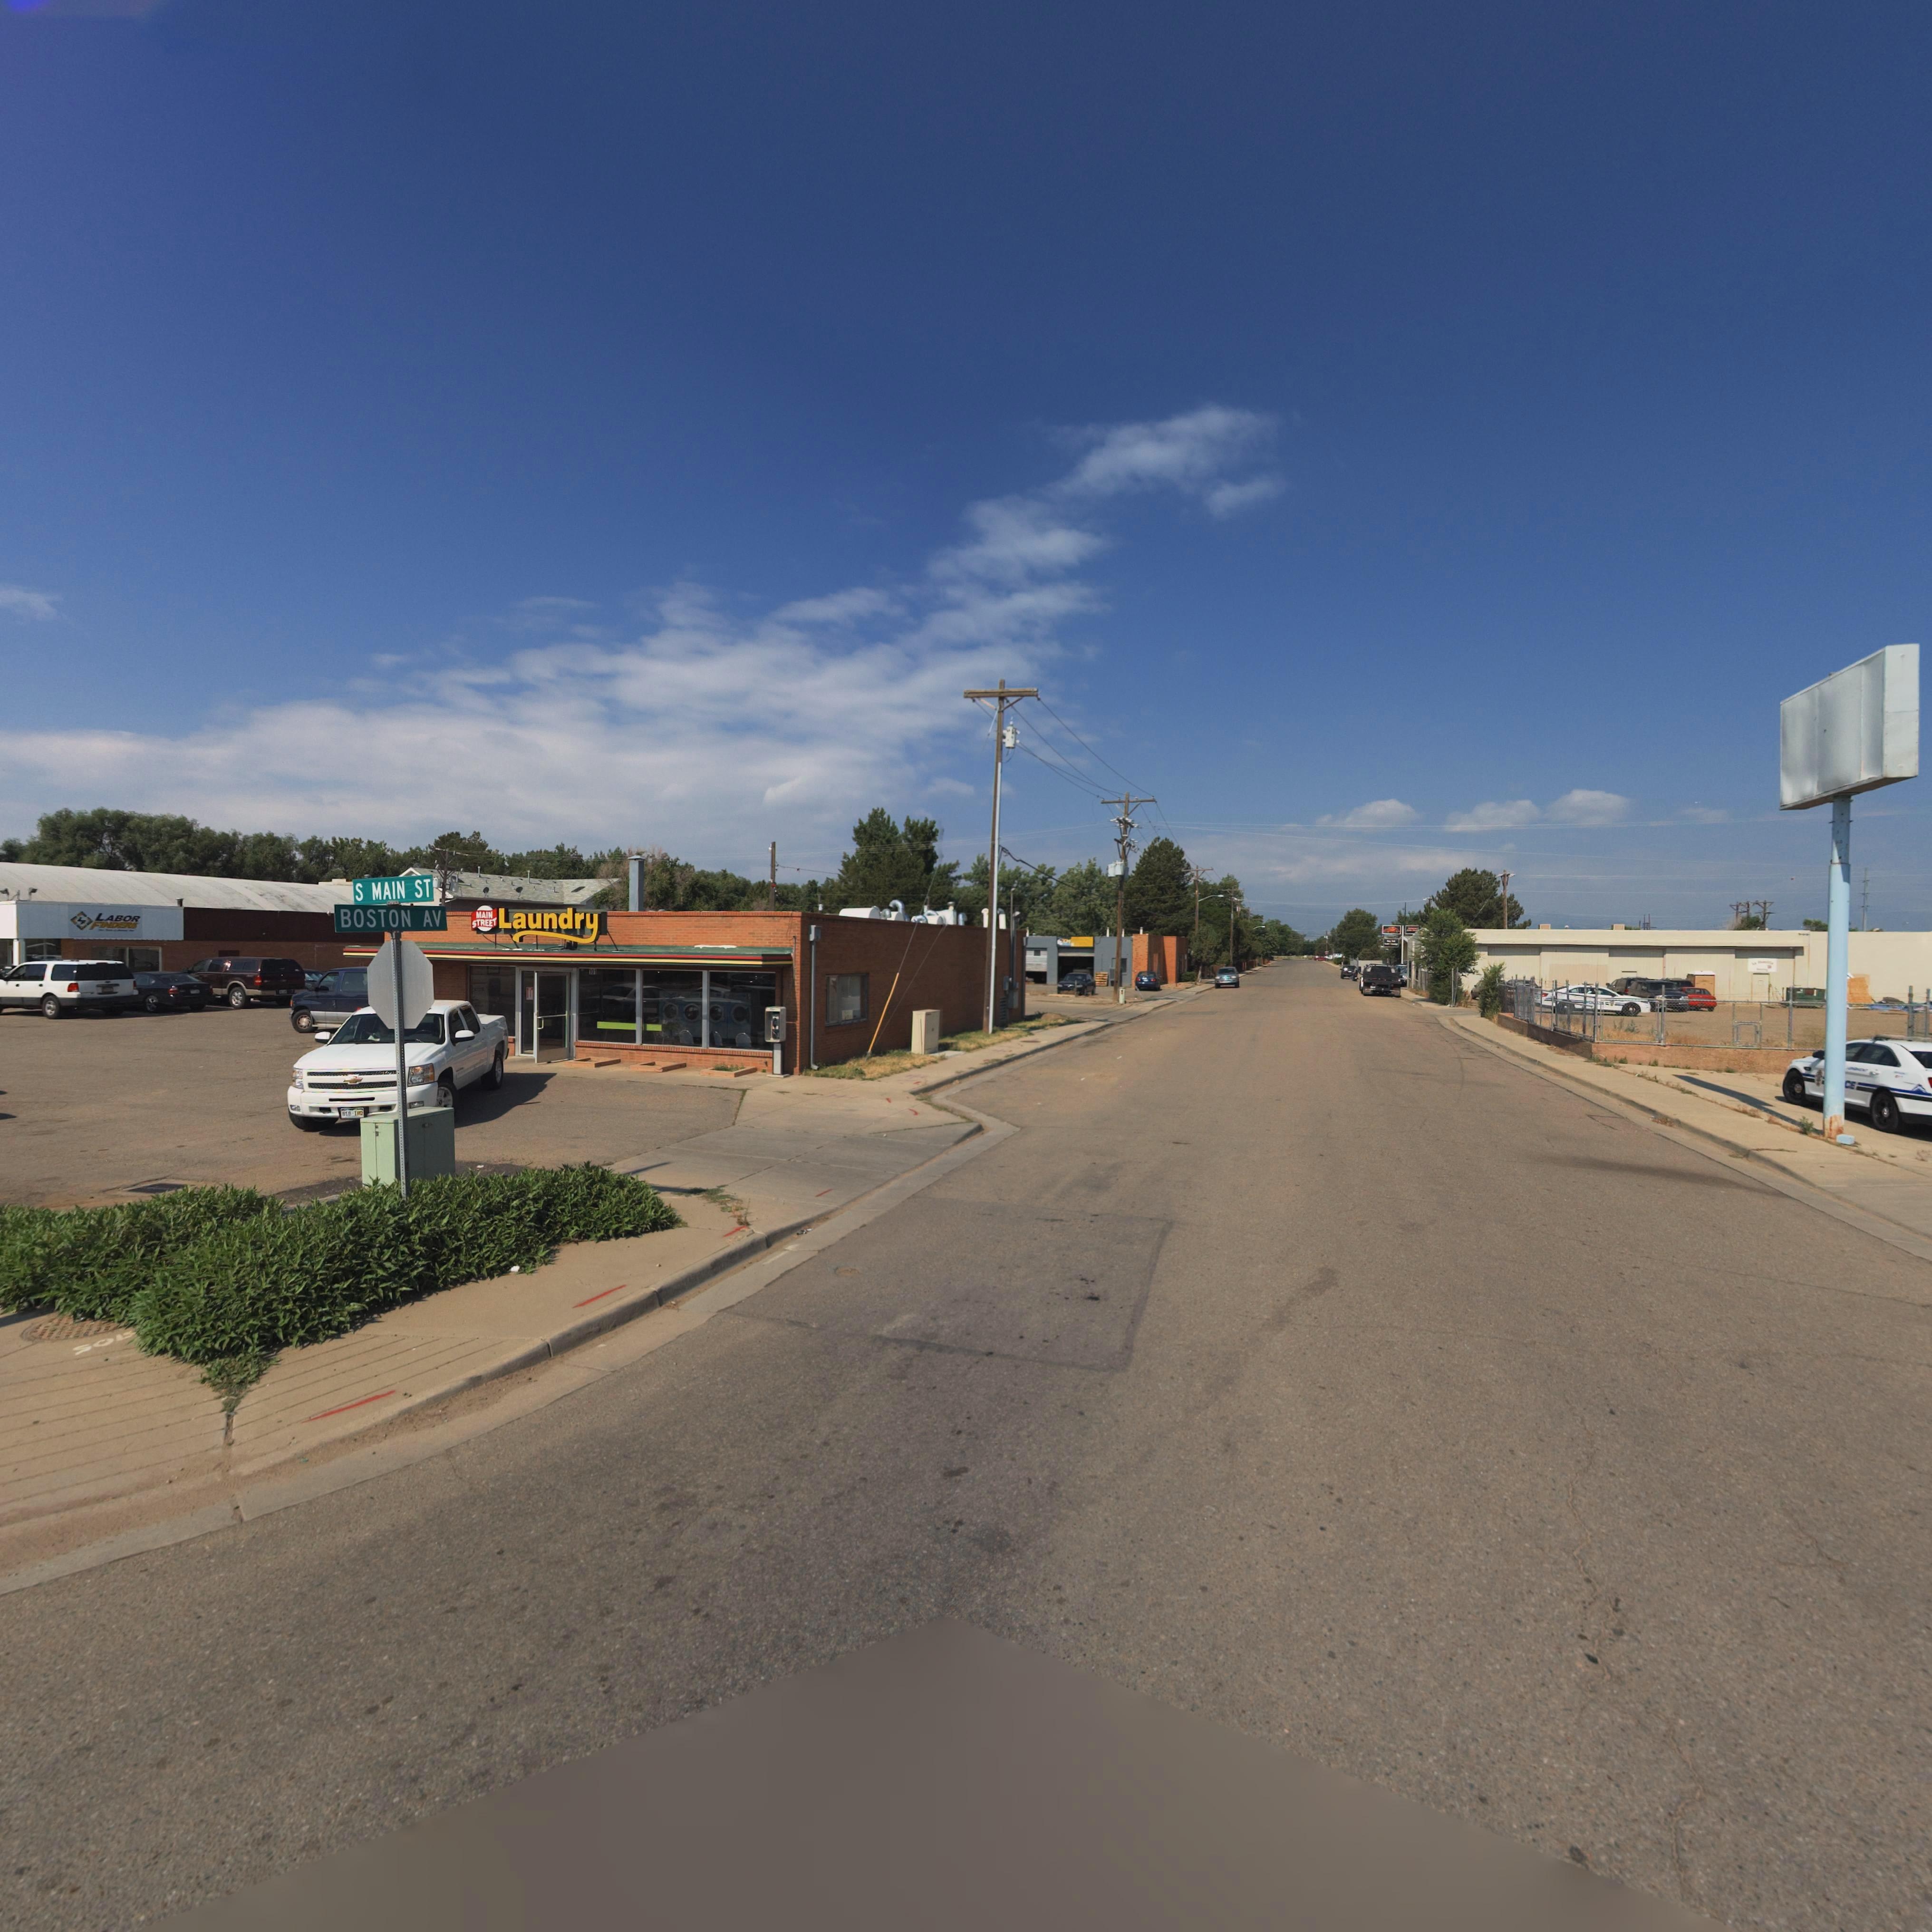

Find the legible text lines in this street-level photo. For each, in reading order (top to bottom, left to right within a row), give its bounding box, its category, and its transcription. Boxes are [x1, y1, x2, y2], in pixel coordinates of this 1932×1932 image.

[354, 878, 431, 902] StreetName: S MAIN ST
[89, 921, 137, 930] BusinessName: F*ND***
[95, 913, 141, 922] BusinessName: LABOR
[339, 908, 442, 928] StreetName: BOSTON AV
[476, 911, 493, 918] BusinessName: MAIN
[472, 917, 497, 928] BusinessName: STREET
[498, 907, 599, 944] BusinessName: Laundry
[589, 968, 596, 974] StreetNumber: 101